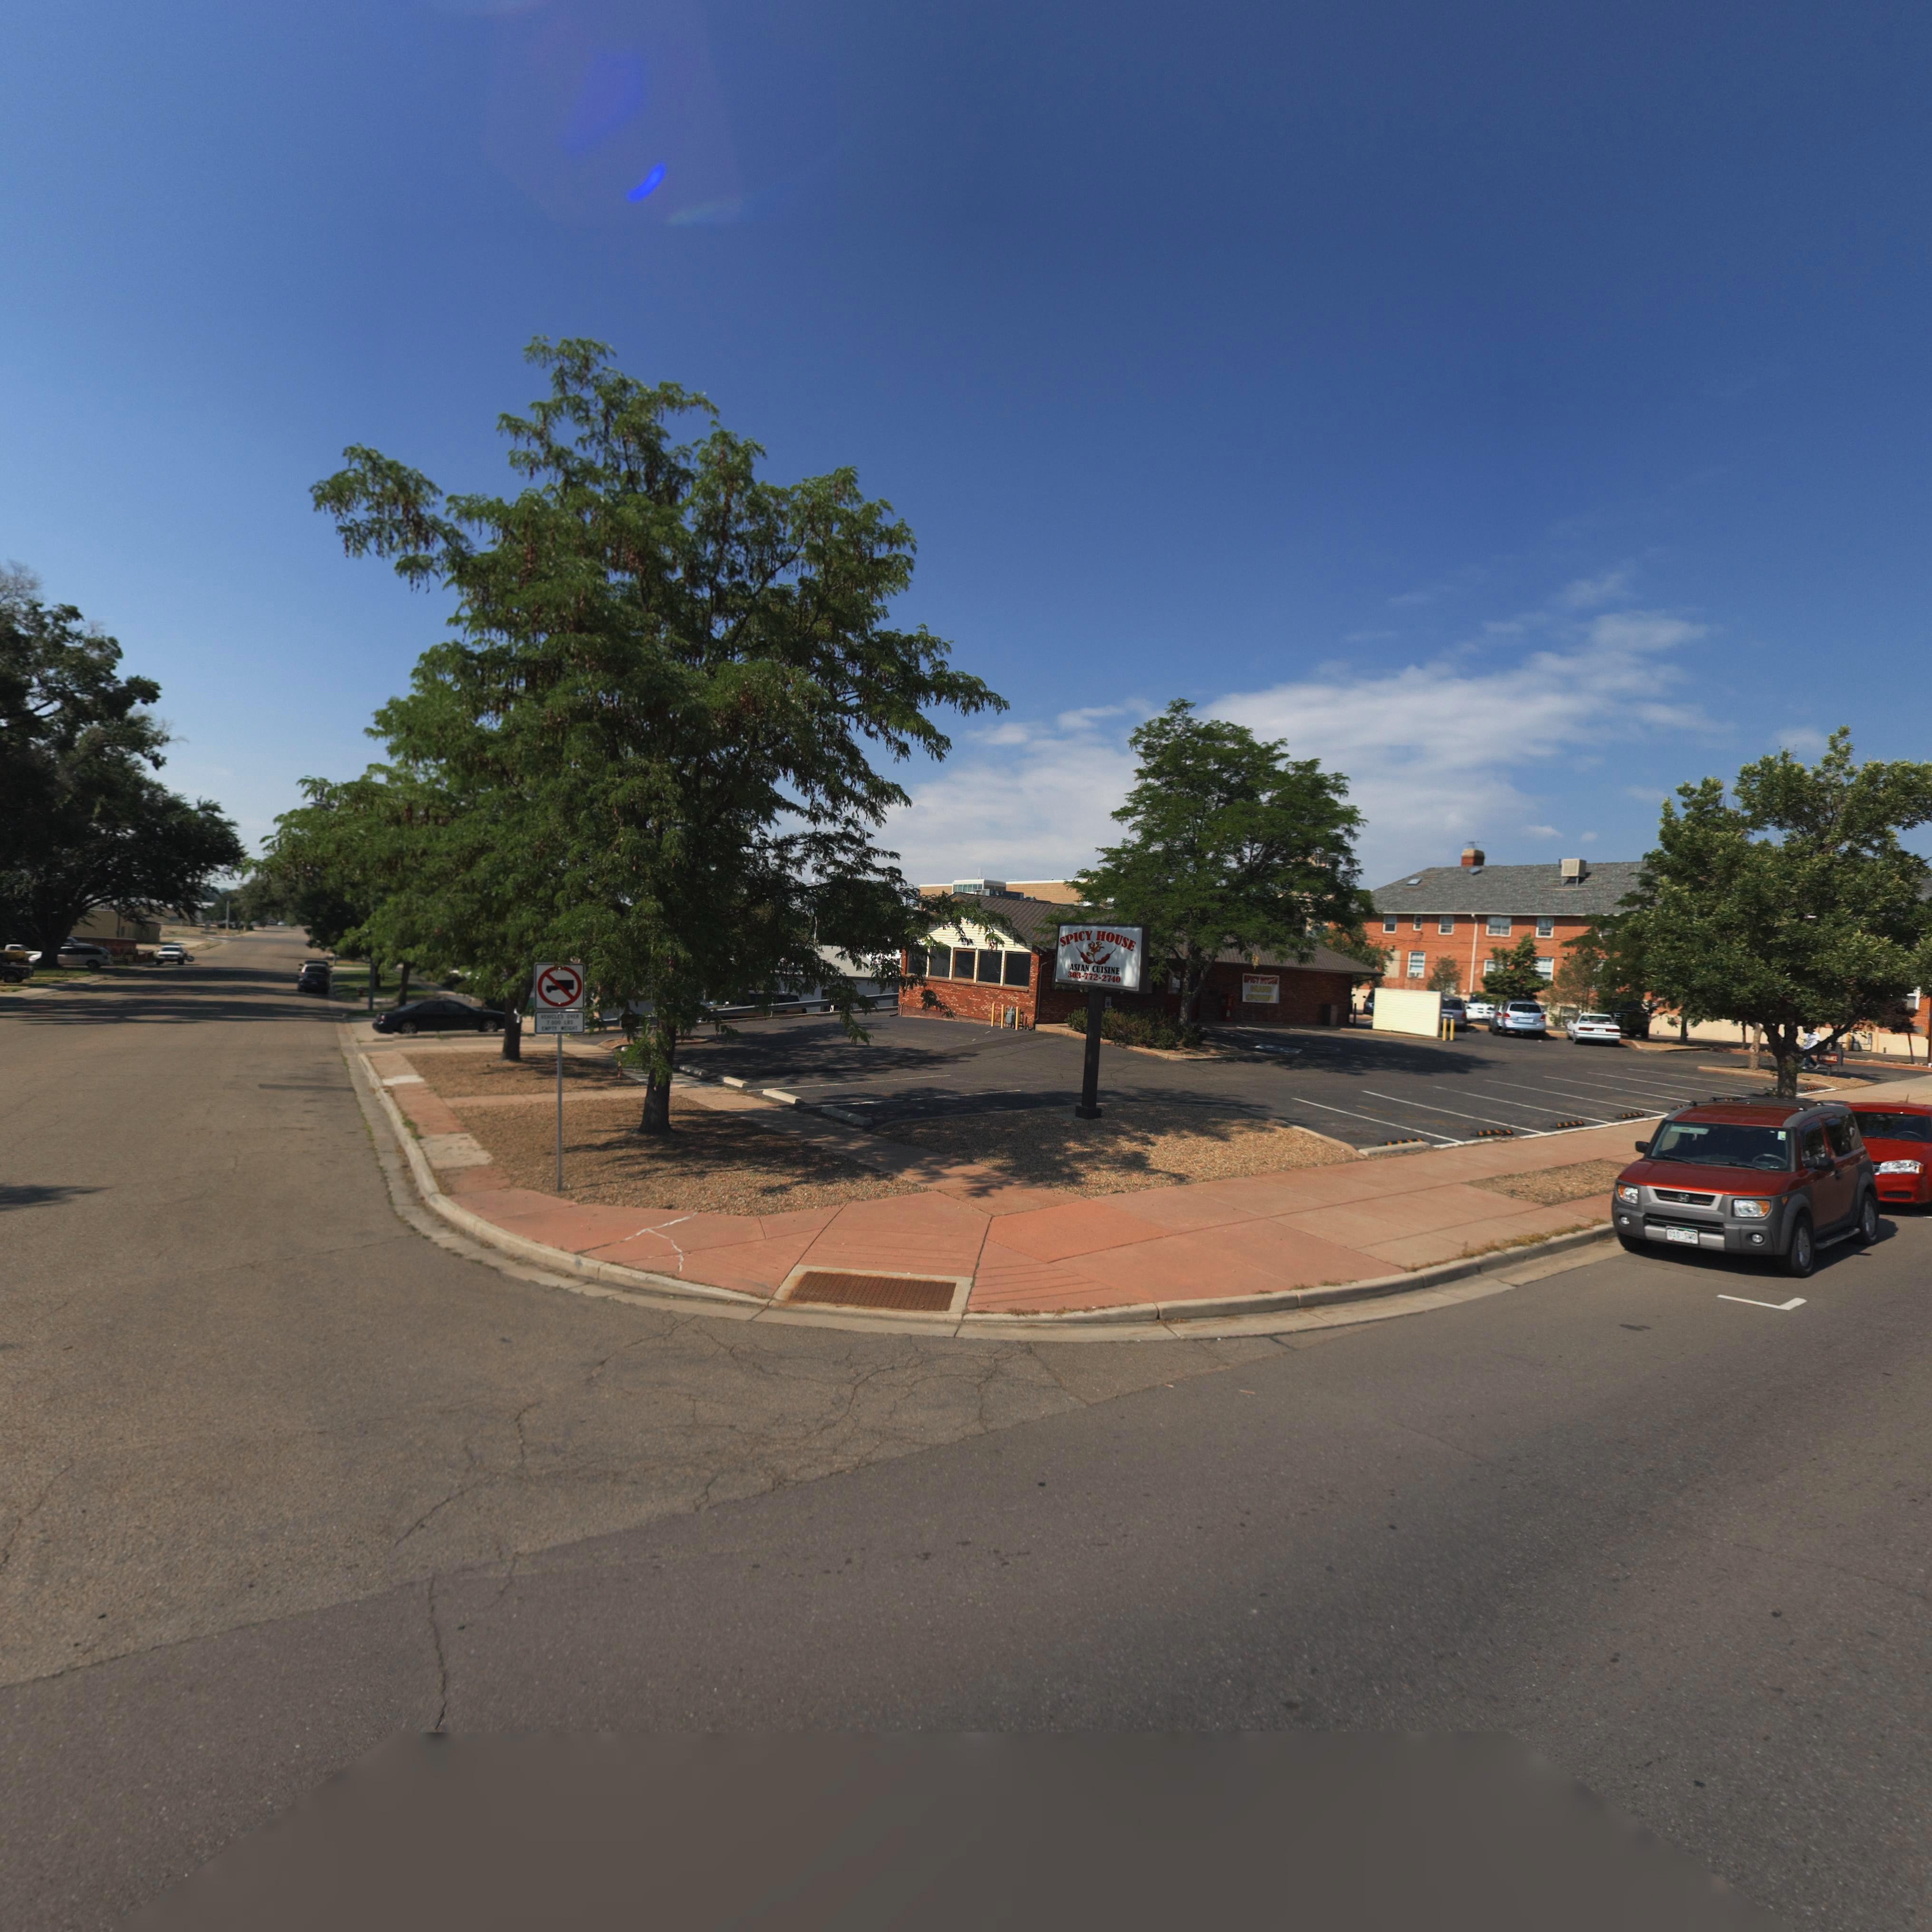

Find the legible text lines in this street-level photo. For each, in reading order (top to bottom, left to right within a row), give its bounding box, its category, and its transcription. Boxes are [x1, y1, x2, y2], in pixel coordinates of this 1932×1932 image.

[1059, 930, 1137, 952] BusinessName: SPICY HOUSE
[1069, 963, 1120, 975] BusinessName: ASIAN CUISINE
[1243, 975, 1278, 985] BusinessName: SPICY HOU**